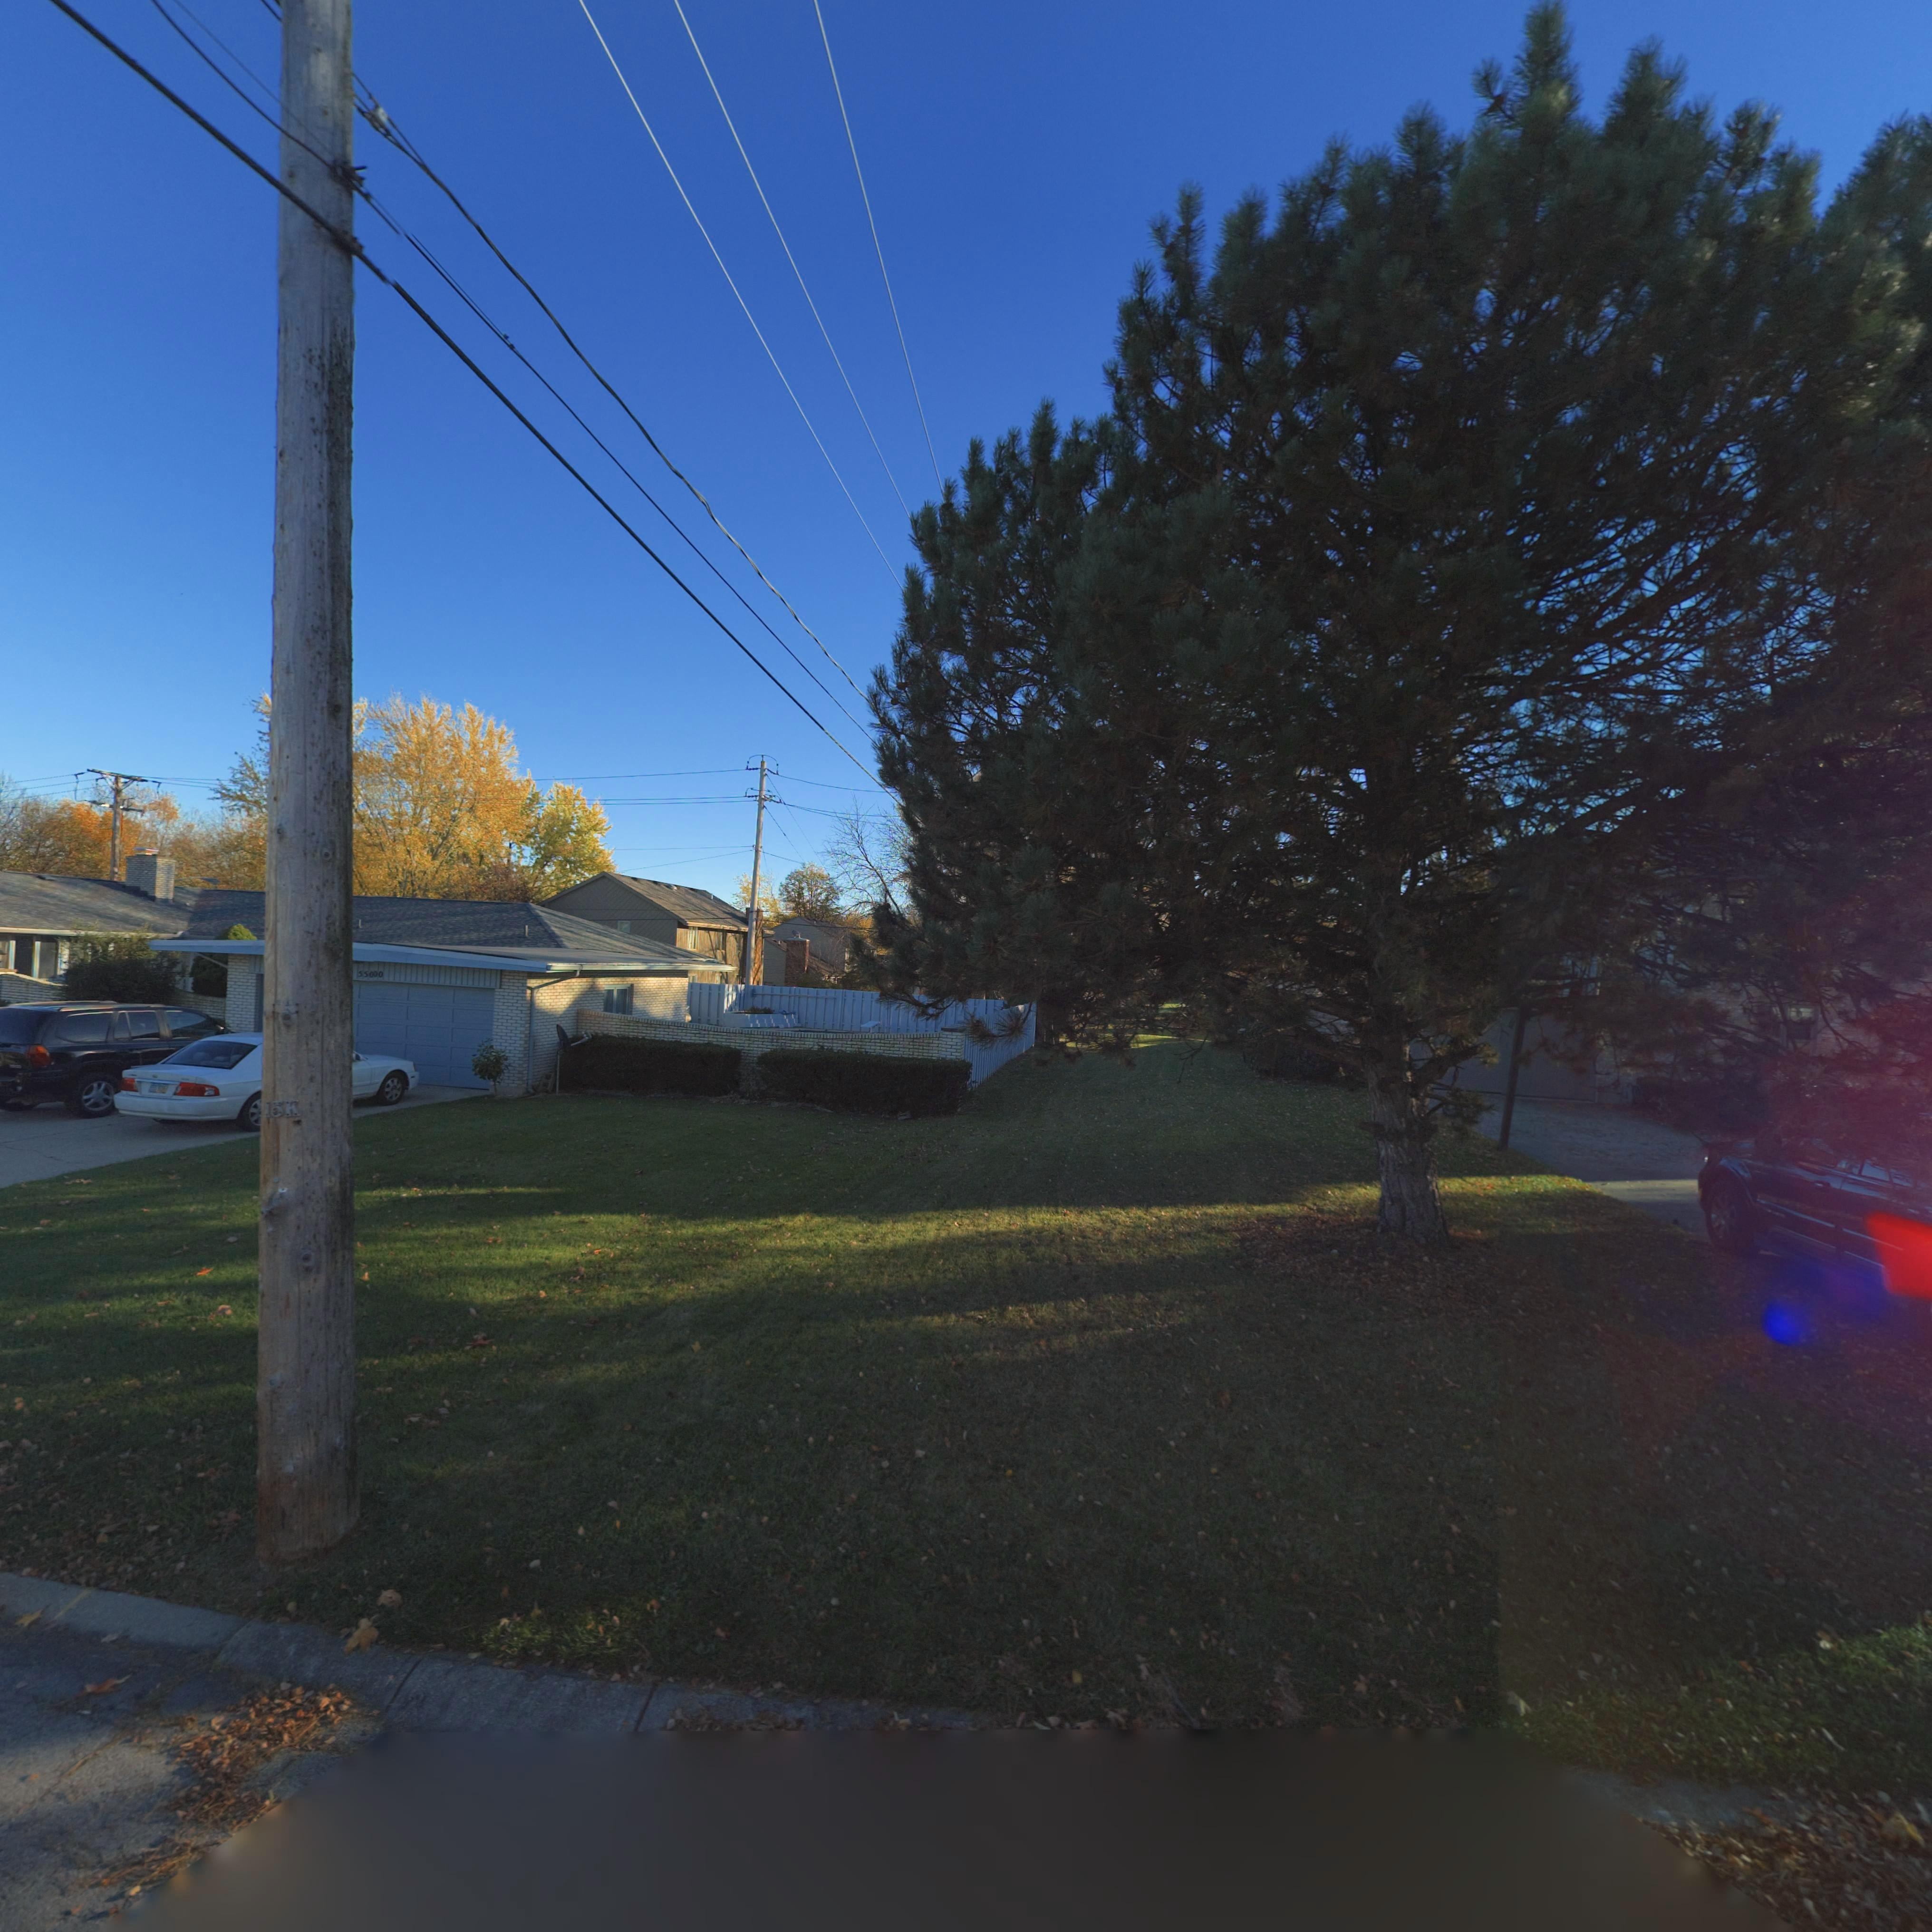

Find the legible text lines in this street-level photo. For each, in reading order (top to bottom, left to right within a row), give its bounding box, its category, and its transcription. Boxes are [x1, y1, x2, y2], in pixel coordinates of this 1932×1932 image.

[357, 969, 385, 979] StreetNumber: 55**0